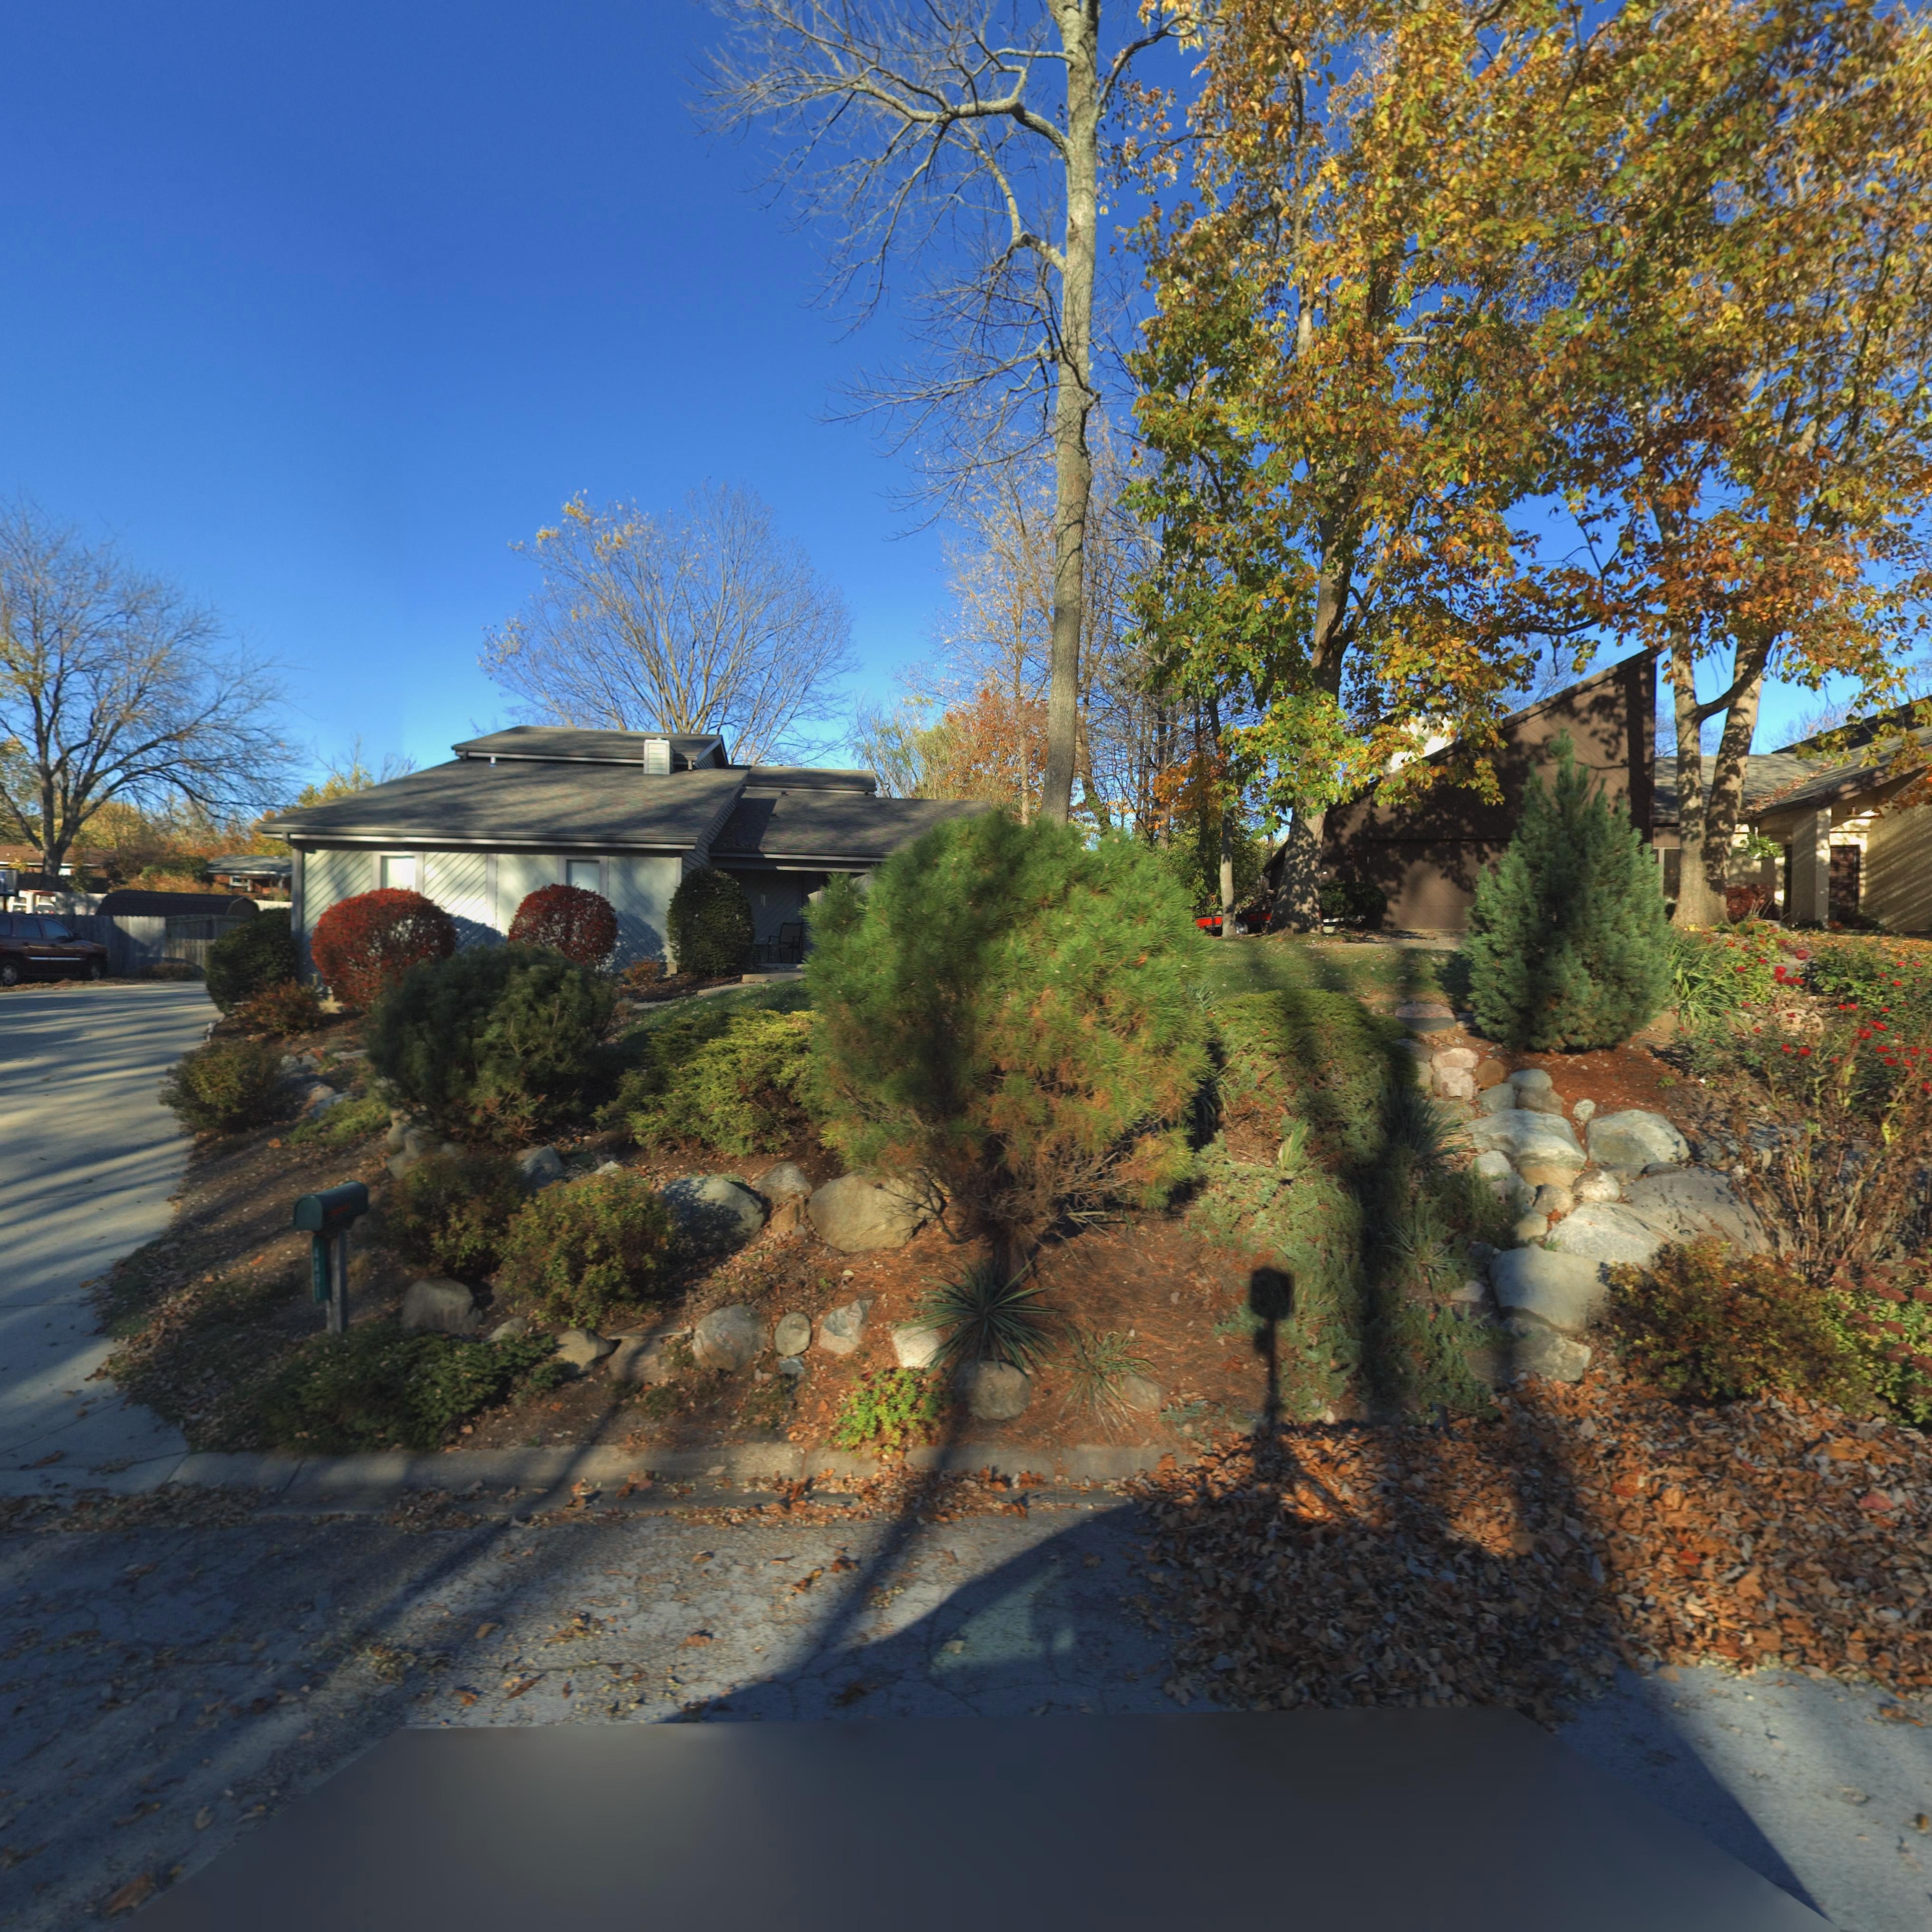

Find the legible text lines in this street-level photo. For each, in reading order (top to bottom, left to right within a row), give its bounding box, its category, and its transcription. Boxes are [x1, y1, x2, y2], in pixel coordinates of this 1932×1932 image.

[313, 1245, 322, 1301] StreetNumber: 4491